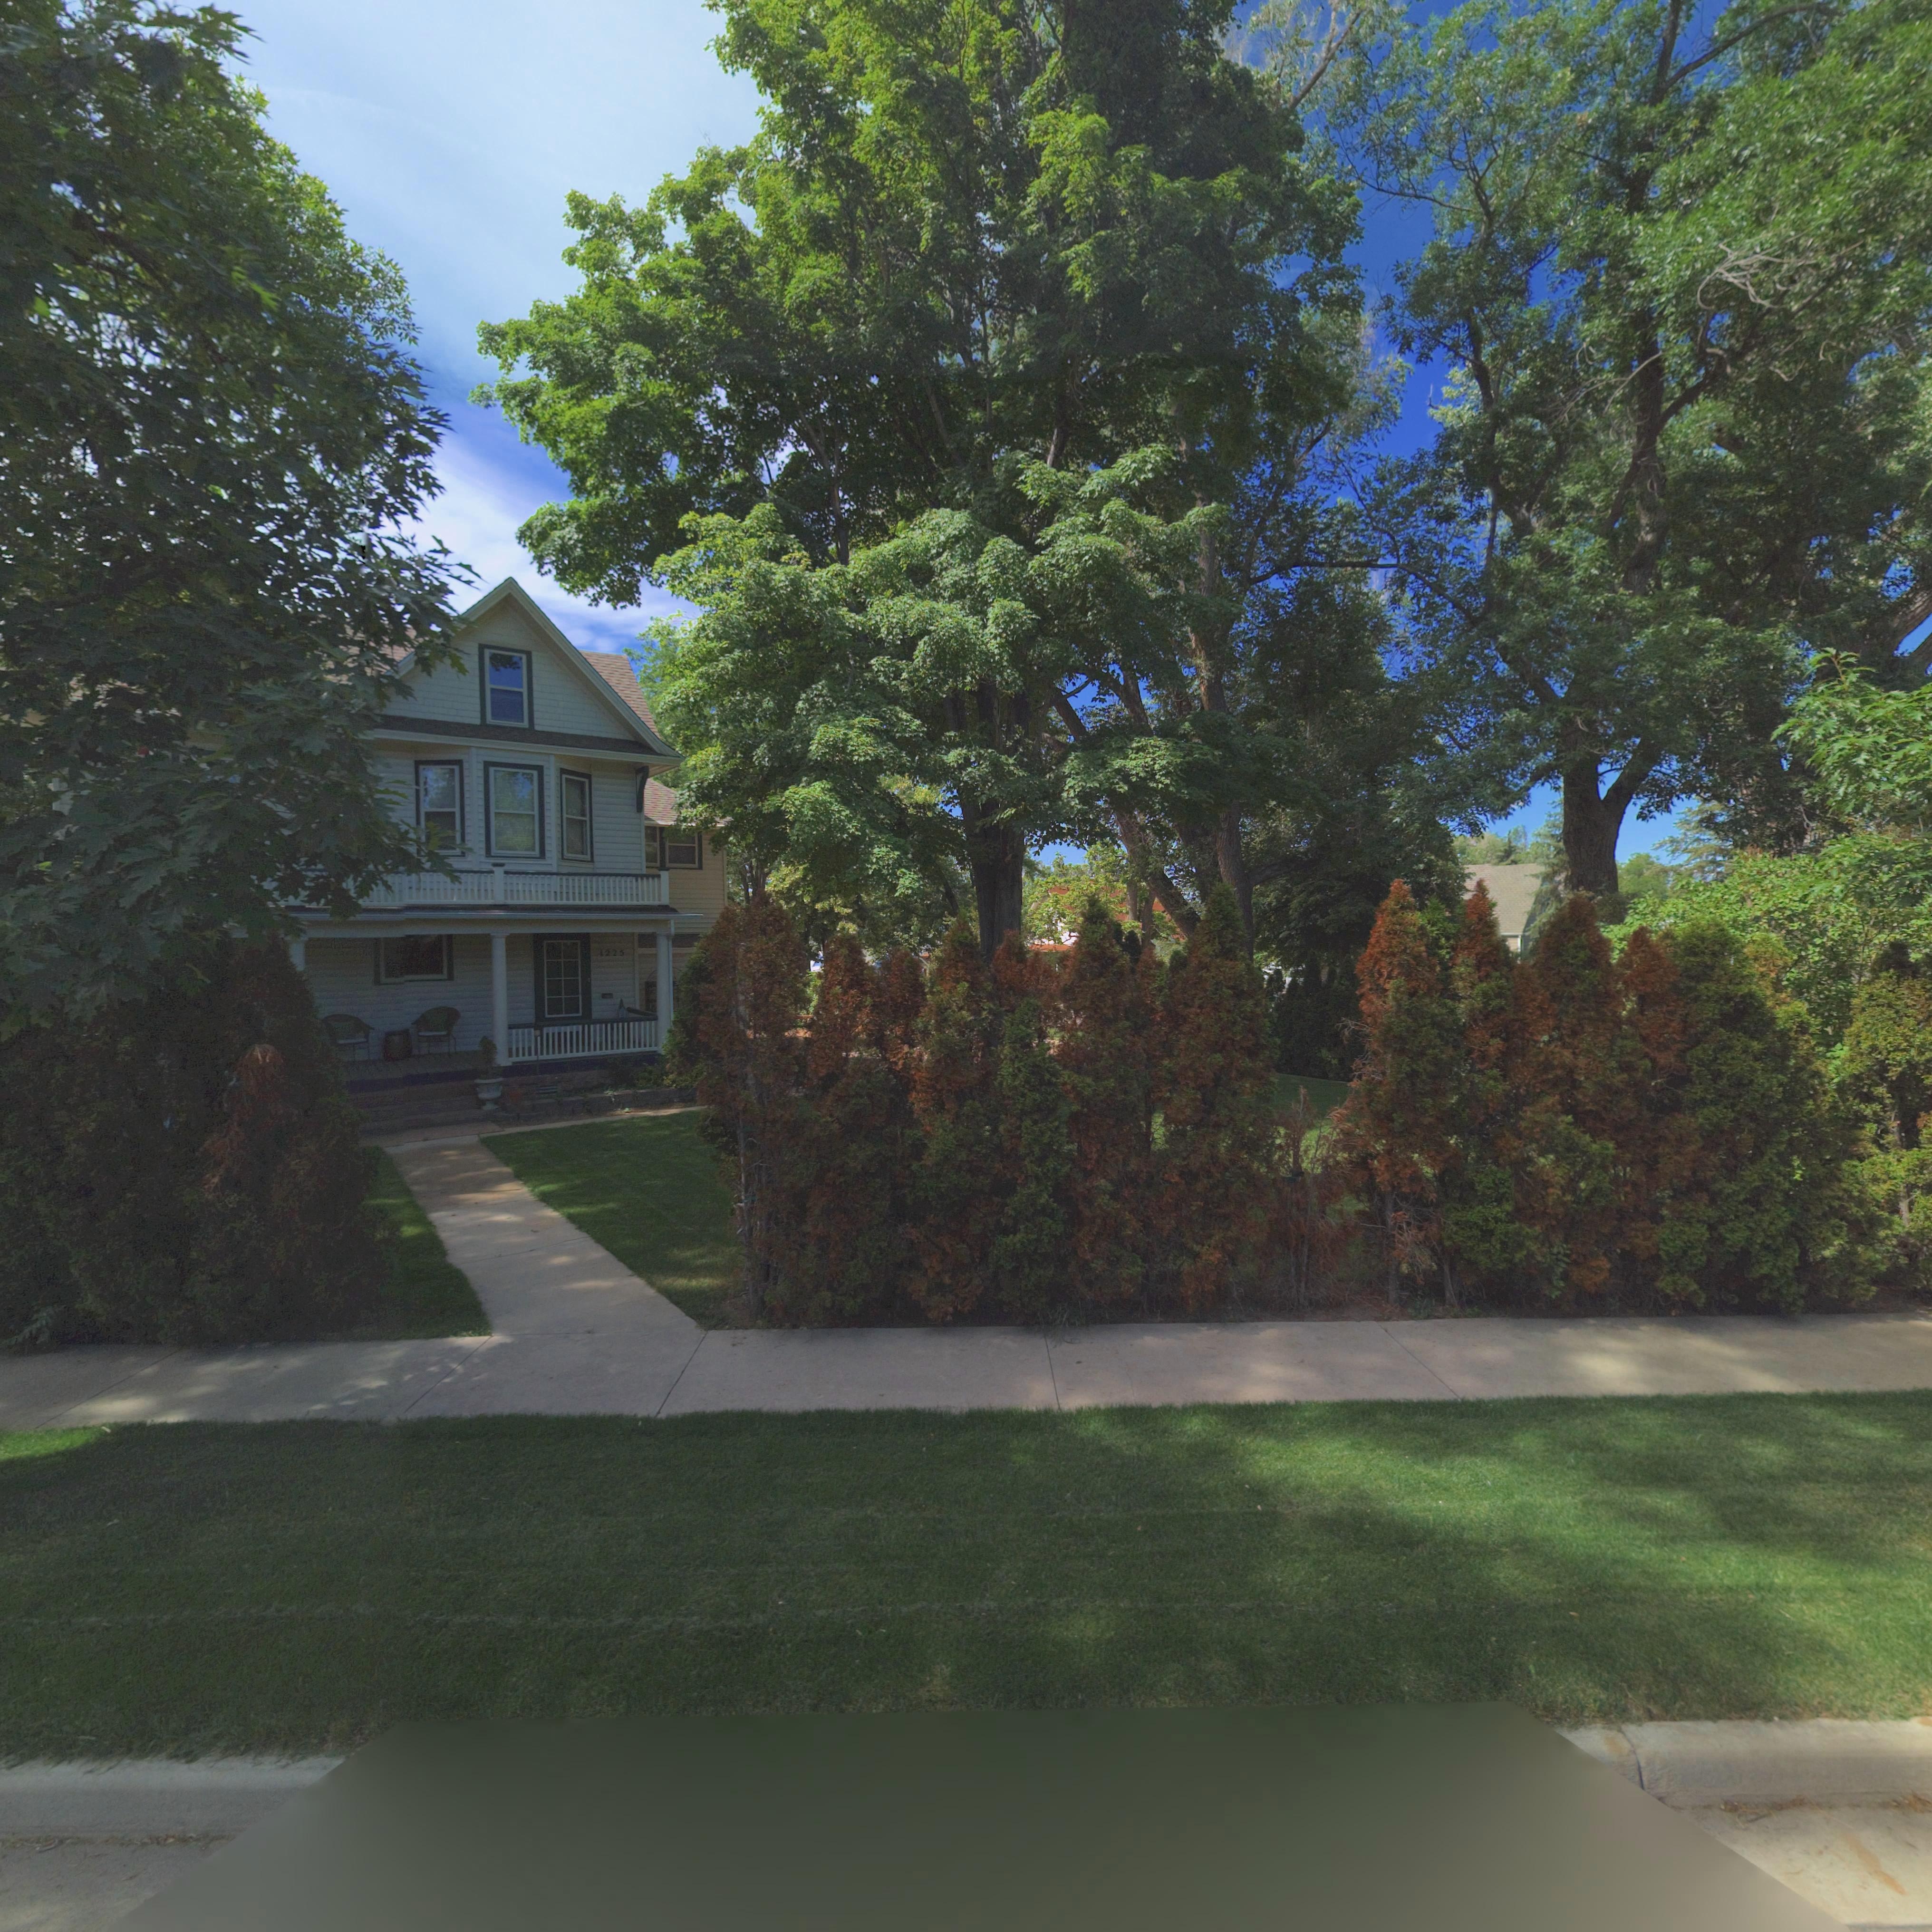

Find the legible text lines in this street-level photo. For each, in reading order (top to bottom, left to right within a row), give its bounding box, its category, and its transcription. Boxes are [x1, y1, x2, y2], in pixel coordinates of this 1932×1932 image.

[599, 948, 625, 956] StreetNumber: 1225